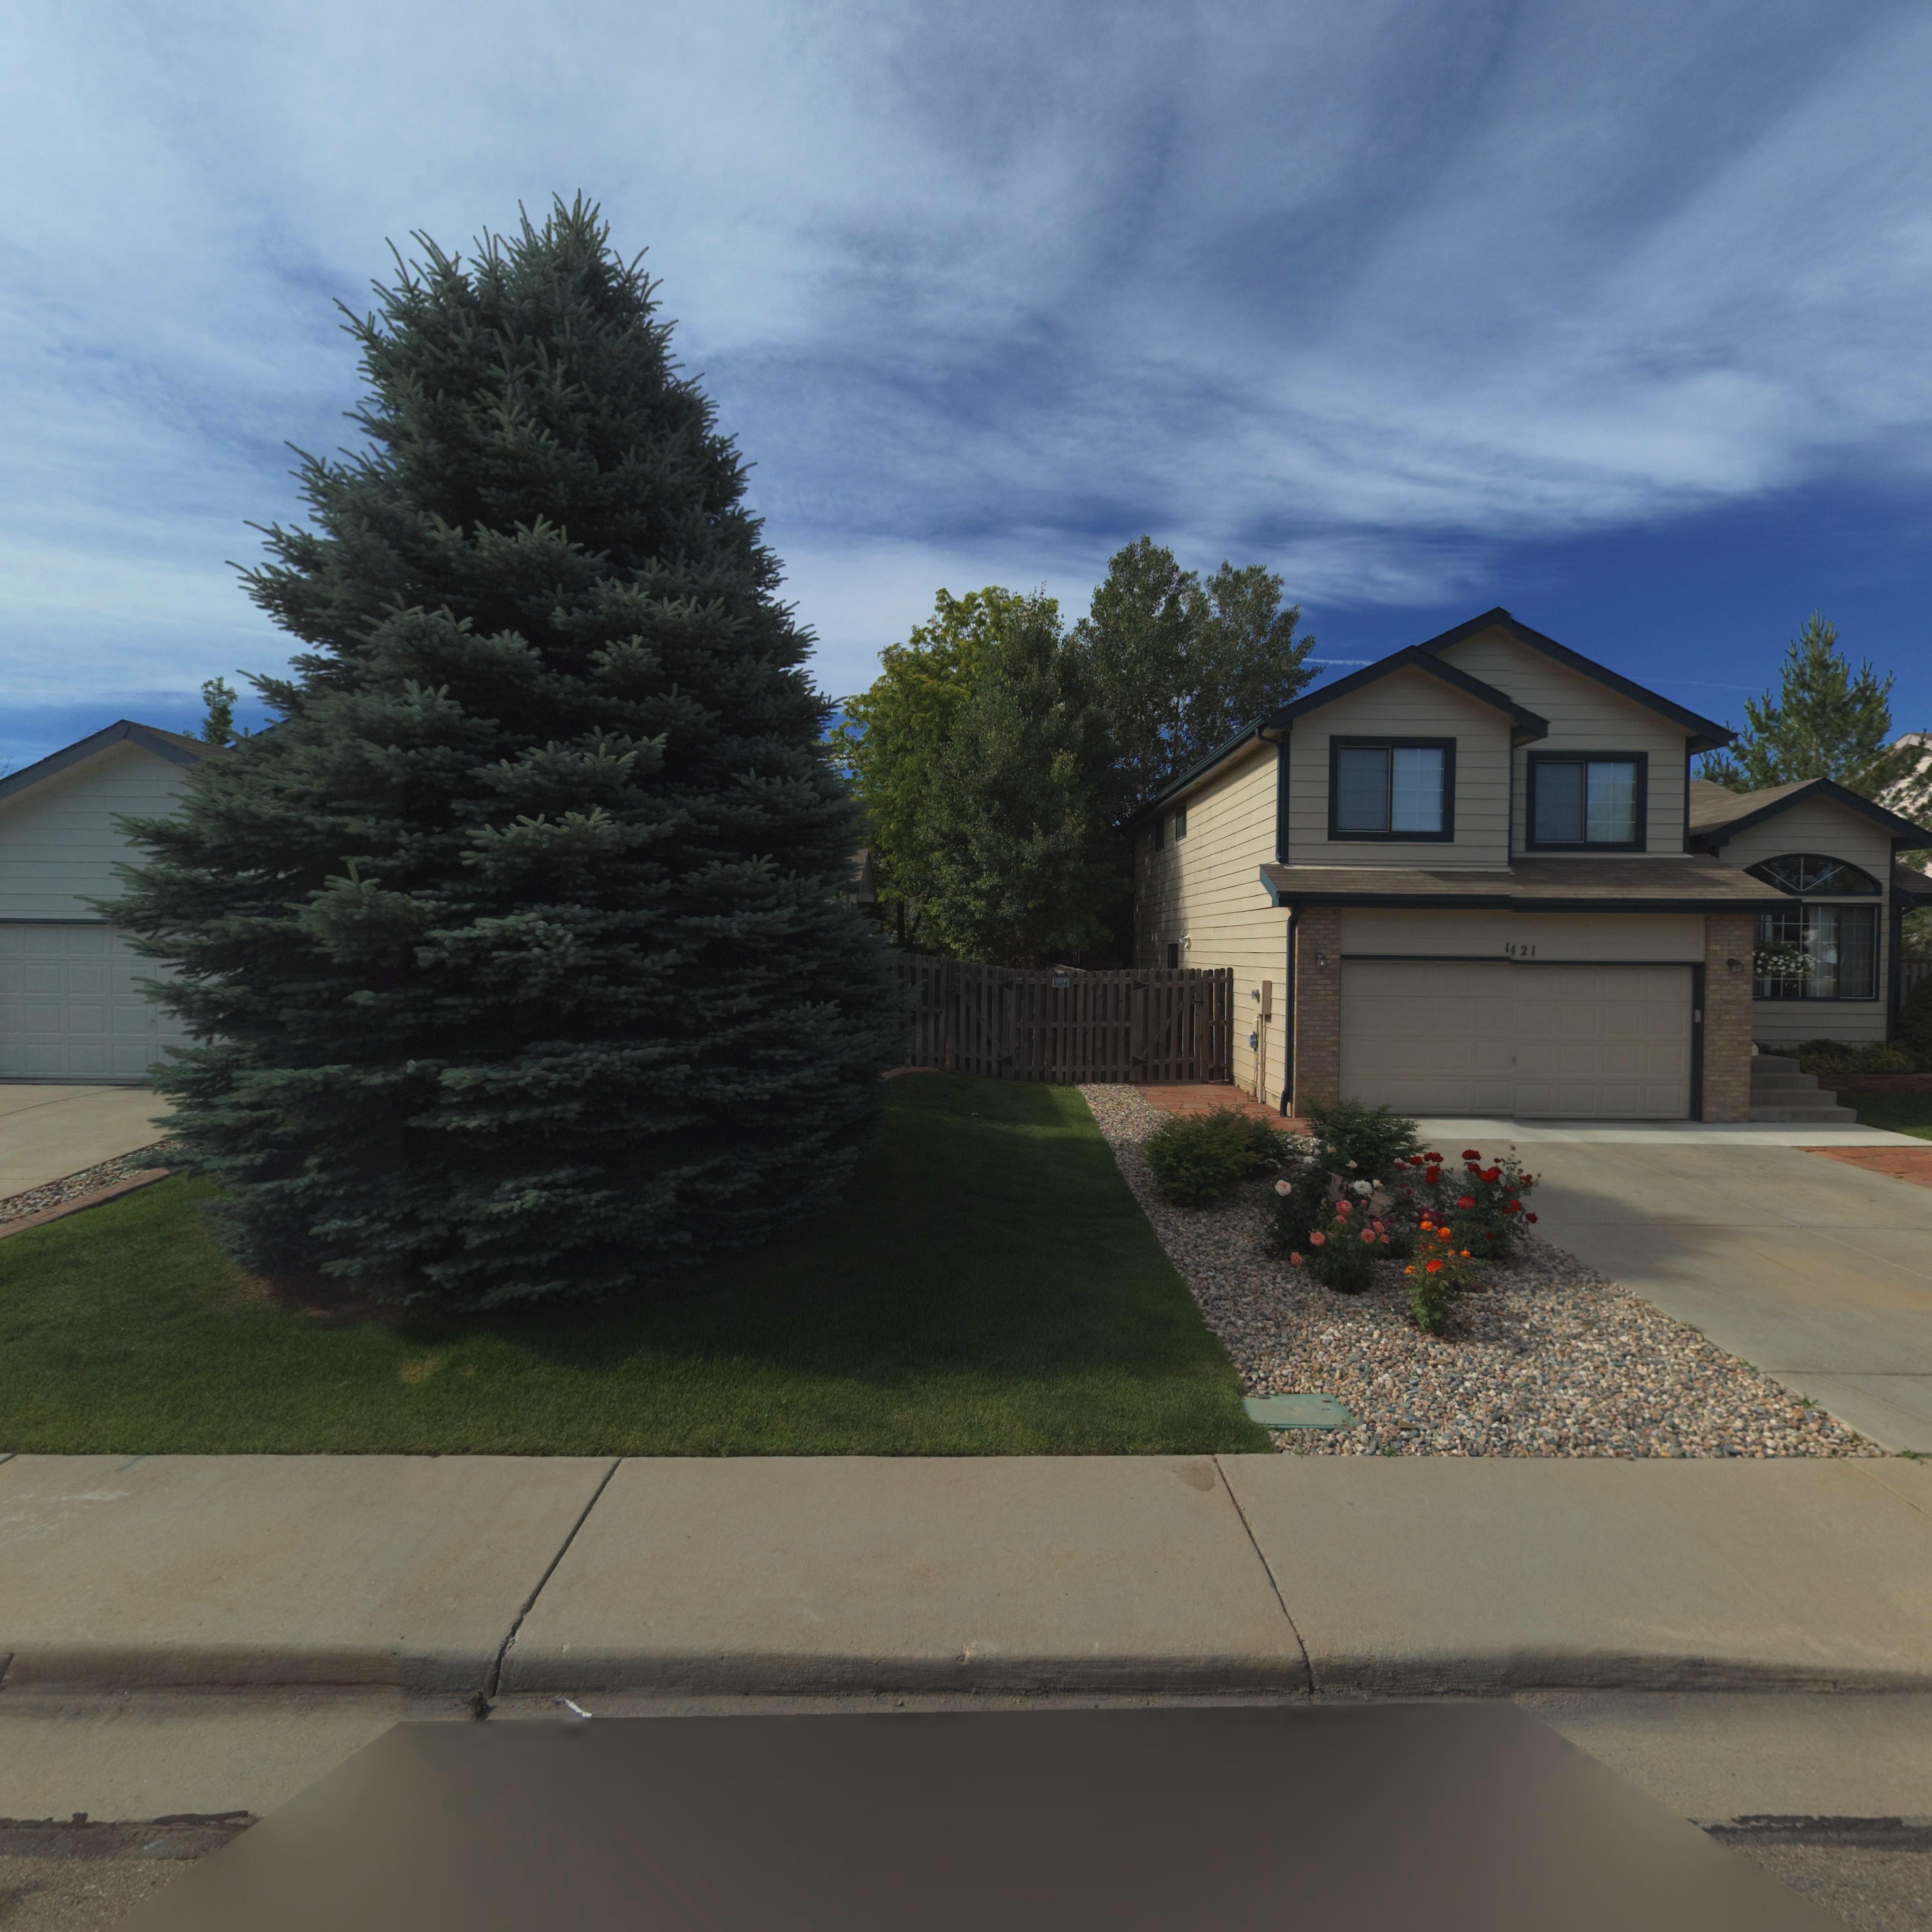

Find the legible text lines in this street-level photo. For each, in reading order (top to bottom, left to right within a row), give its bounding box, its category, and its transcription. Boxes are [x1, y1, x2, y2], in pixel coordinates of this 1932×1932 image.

[1504, 942, 1536, 956] StreetNumber: 1421